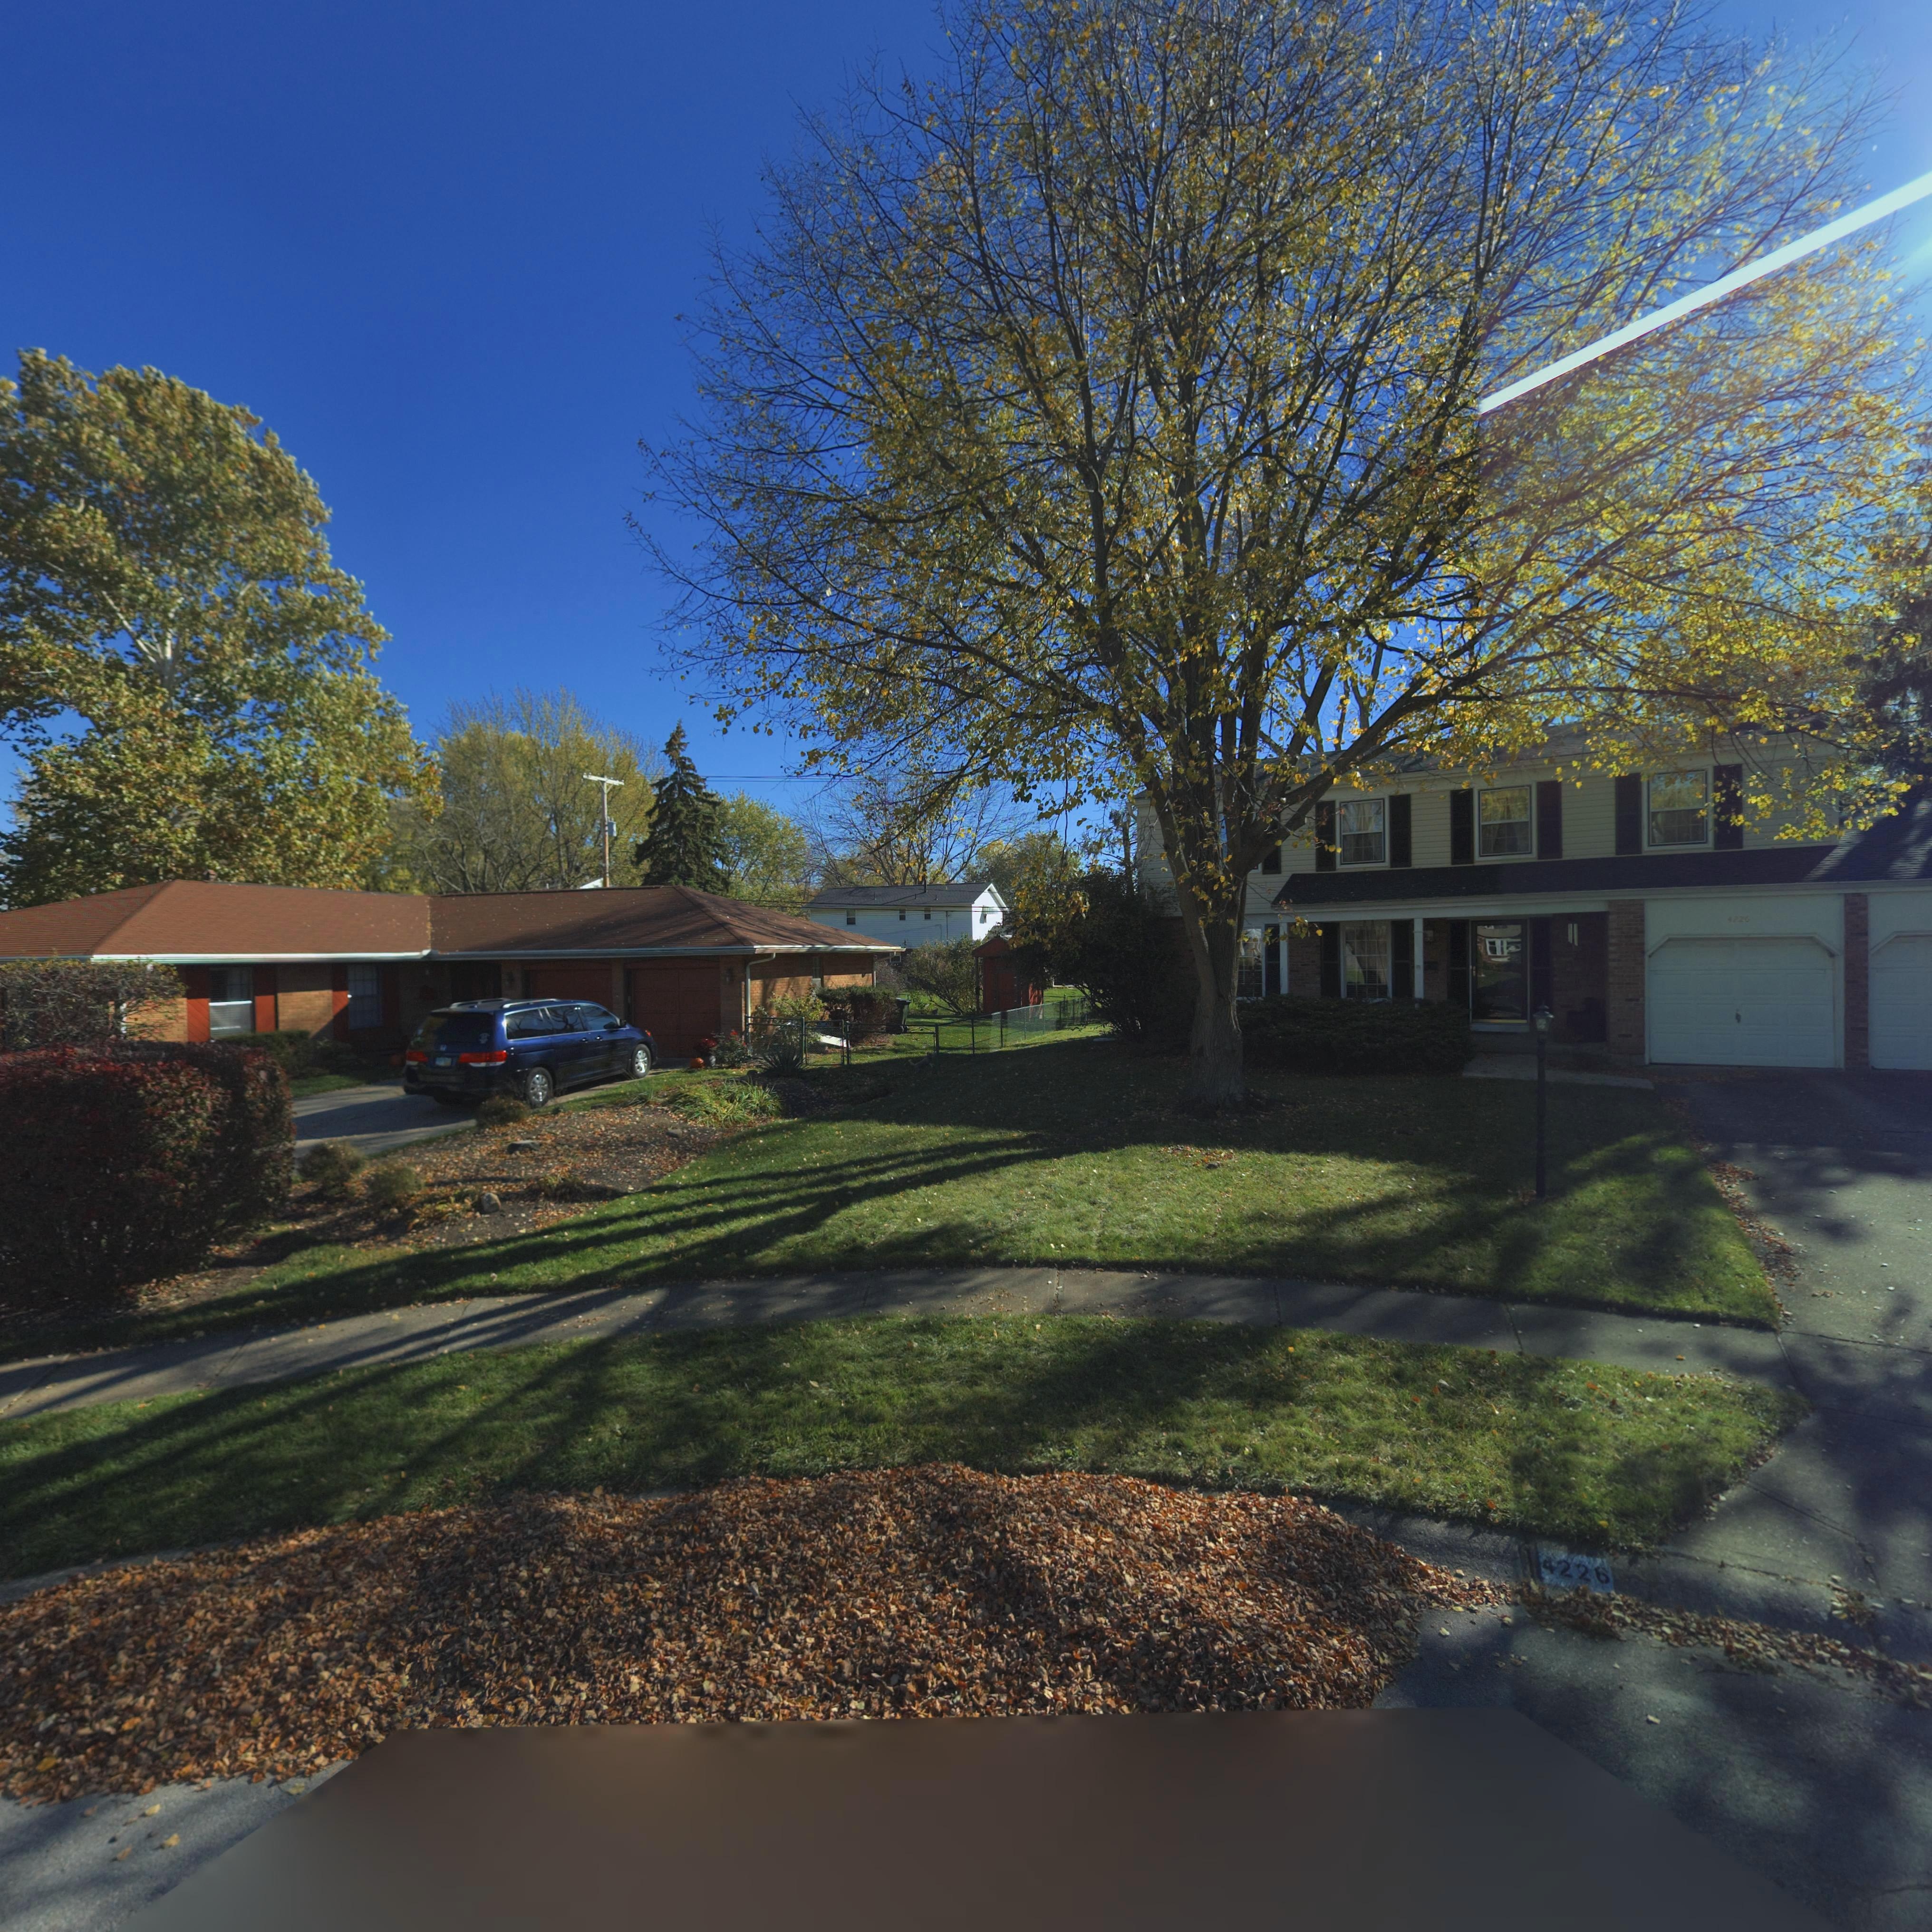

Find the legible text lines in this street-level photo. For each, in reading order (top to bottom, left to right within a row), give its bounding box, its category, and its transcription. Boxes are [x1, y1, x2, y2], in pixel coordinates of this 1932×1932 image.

[1540, 1555, 1612, 1586] StreetNumber: 4226